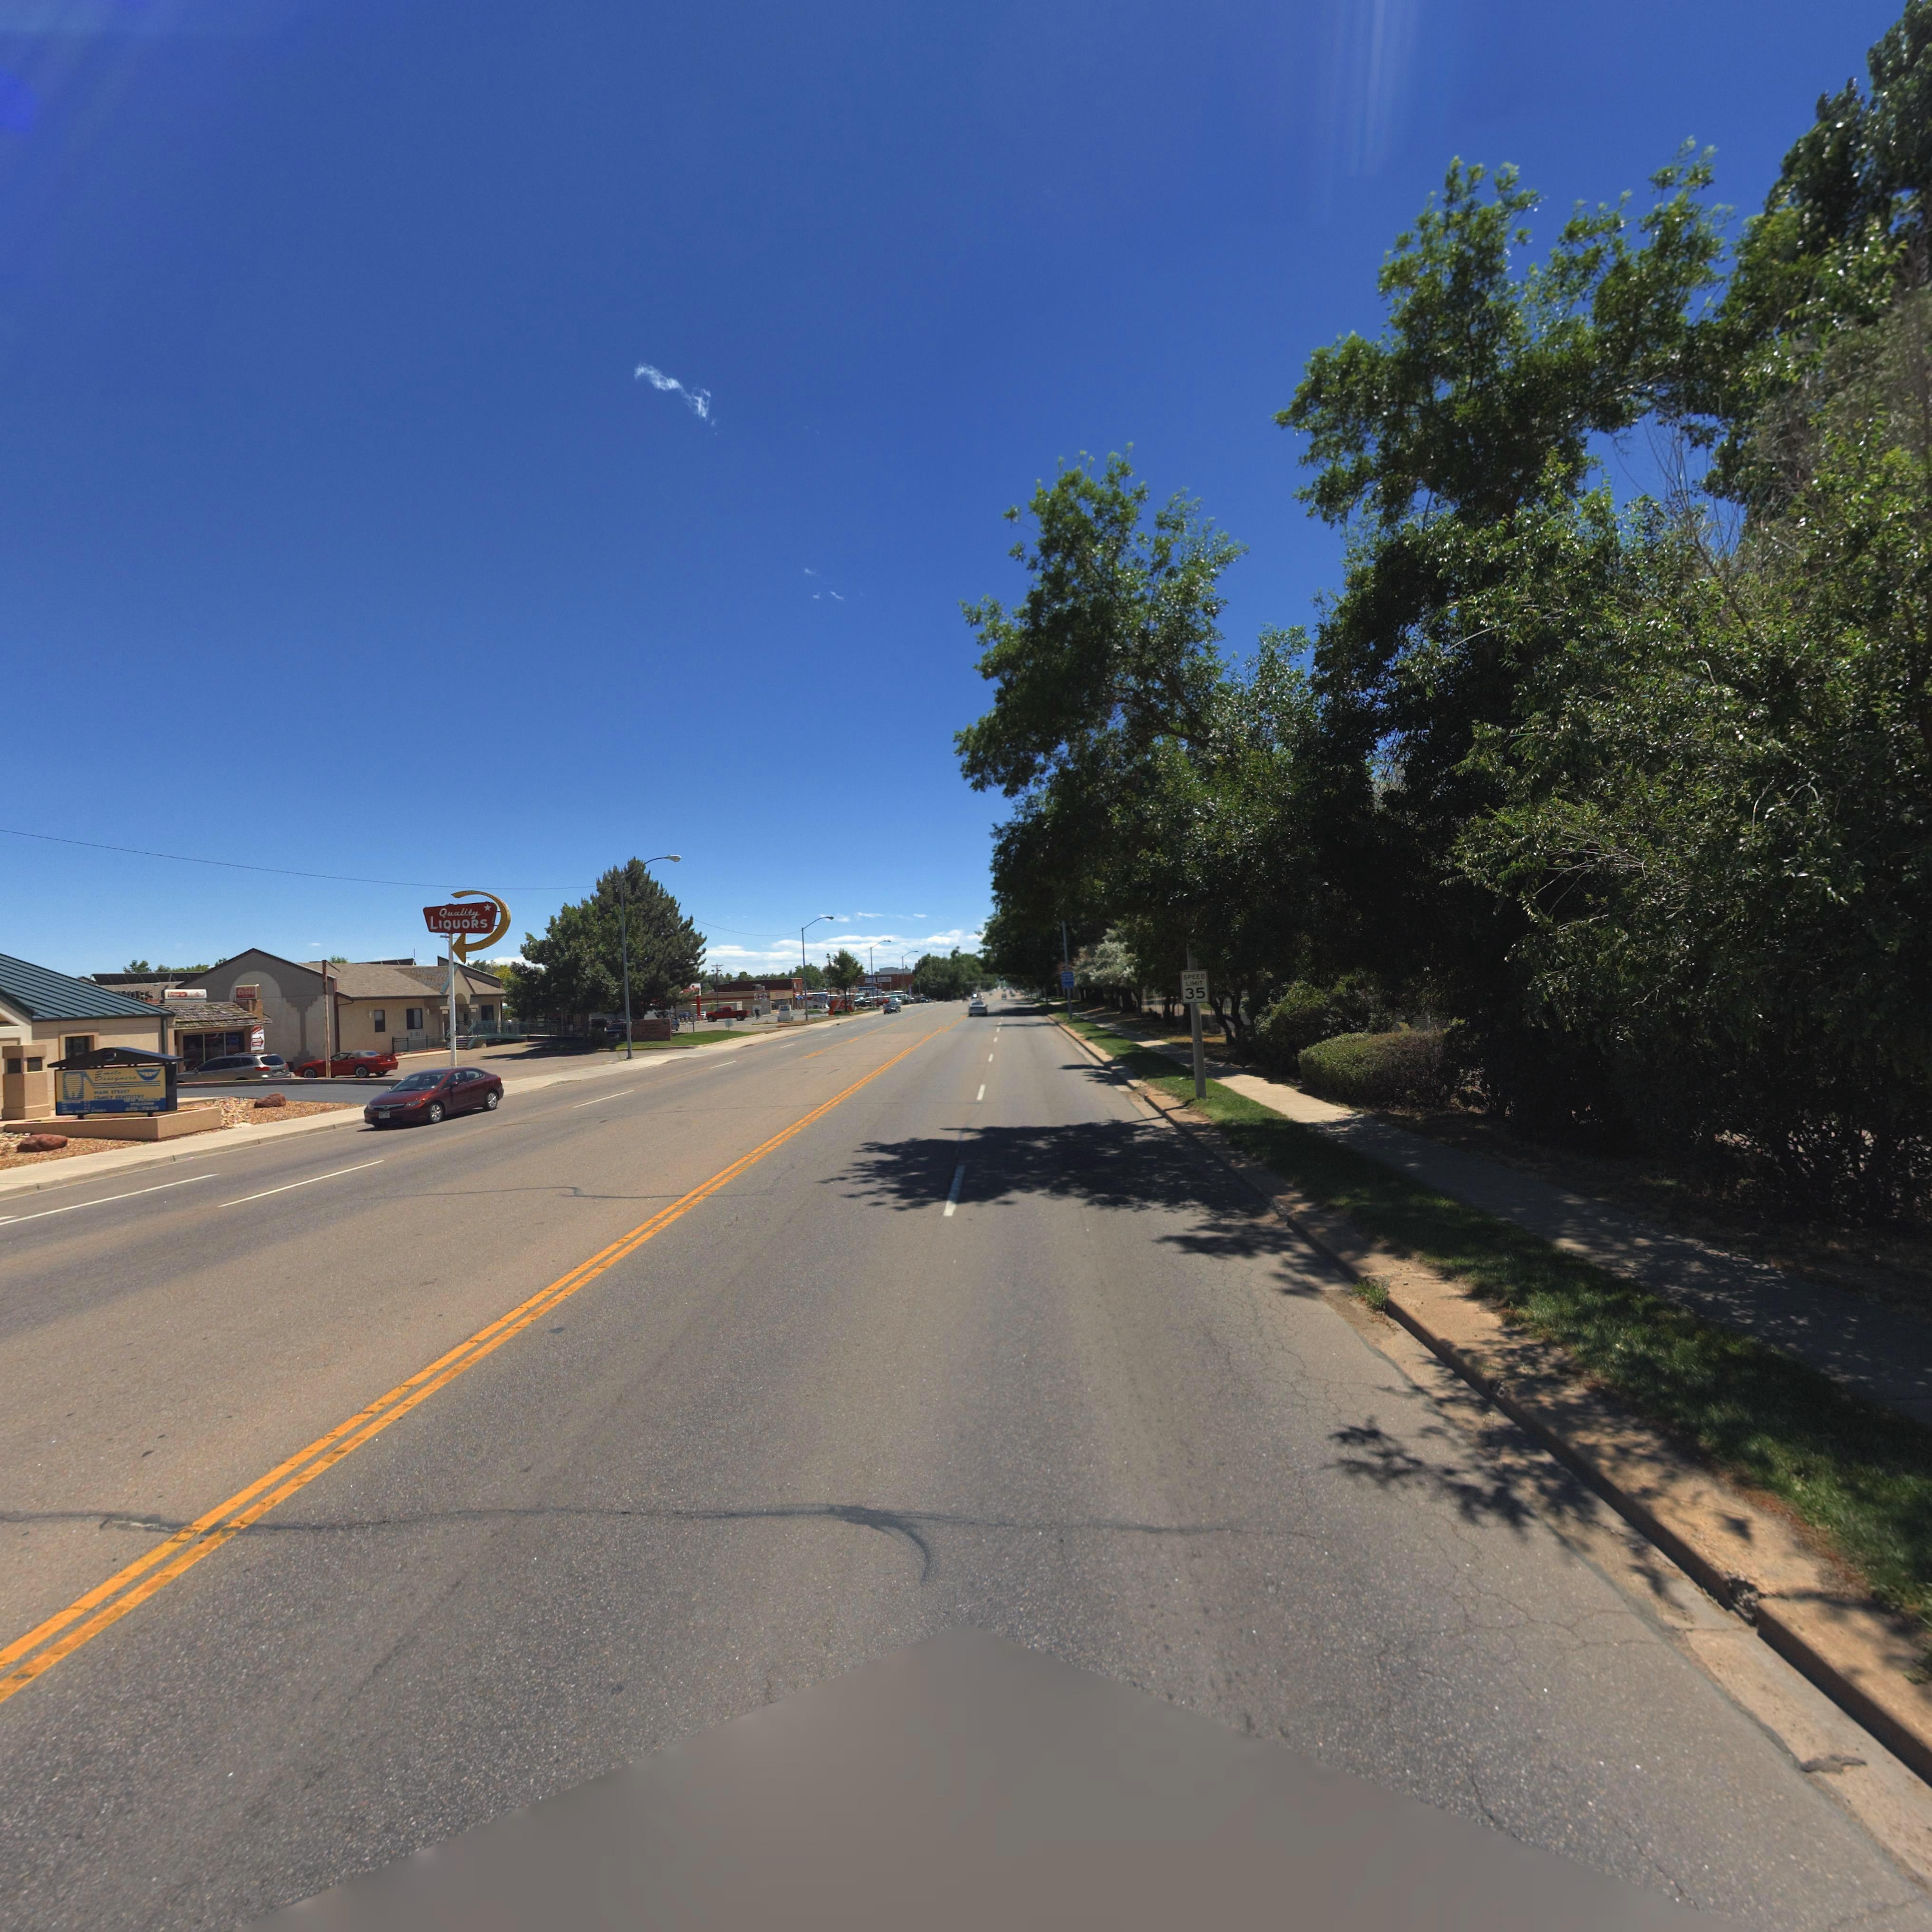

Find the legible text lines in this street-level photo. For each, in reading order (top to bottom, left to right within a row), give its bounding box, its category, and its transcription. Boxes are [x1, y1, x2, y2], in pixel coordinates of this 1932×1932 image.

[438, 908, 481, 919] BusinessName: Quality
[430, 915, 488, 930] BusinessName: LIQUORS
[128, 989, 155, 1001] BusinessName: ORS
[840, 999, 845, 1004] BusinessName: A
[837, 1004, 845, 1009] BusinessName: Zo
[95, 1070, 121, 1076] BusinessName: Smile
[94, 1075, 137, 1082] BusinessName: Designers
[93, 1089, 129, 1095] StreetName: MAIN STREET
[62, 1110, 72, 1113] StreetNumber: 1246
[75, 1108, 106, 1113] StreetName: MAIN STREET